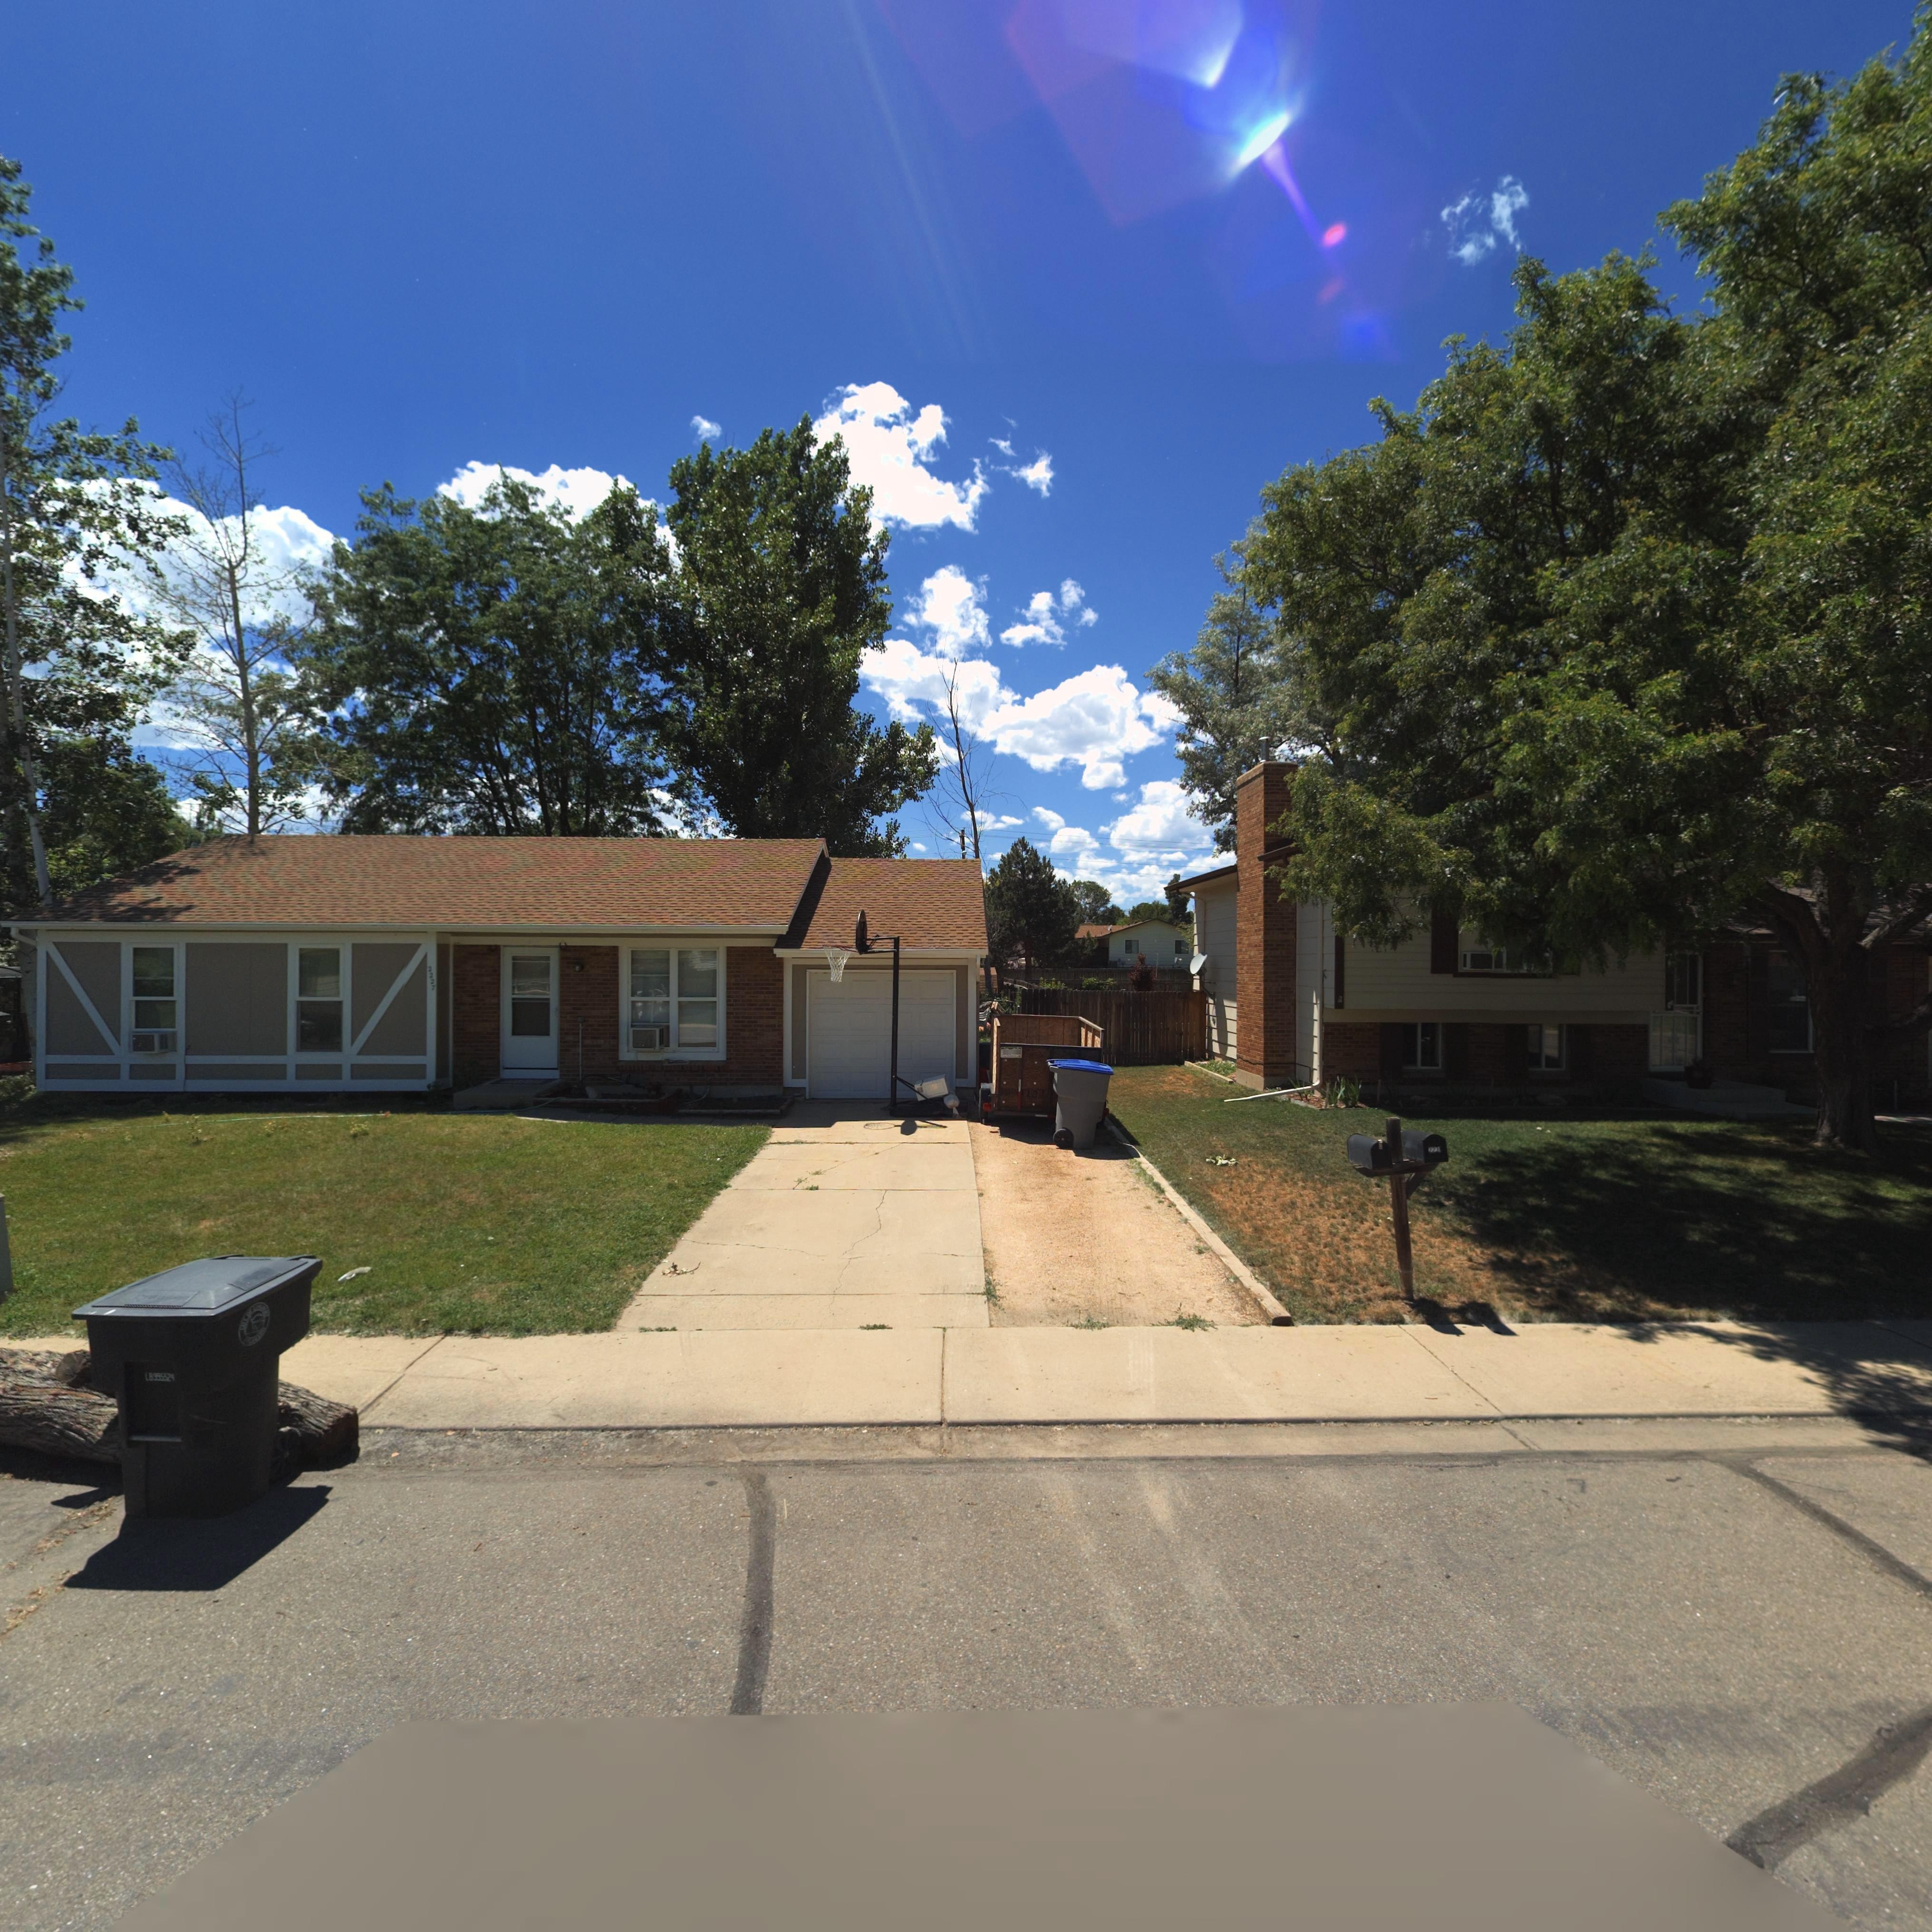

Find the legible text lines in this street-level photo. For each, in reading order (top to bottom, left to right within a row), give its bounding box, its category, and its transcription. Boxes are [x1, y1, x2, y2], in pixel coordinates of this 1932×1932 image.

[427, 965, 436, 991] StreetNumber: 2227